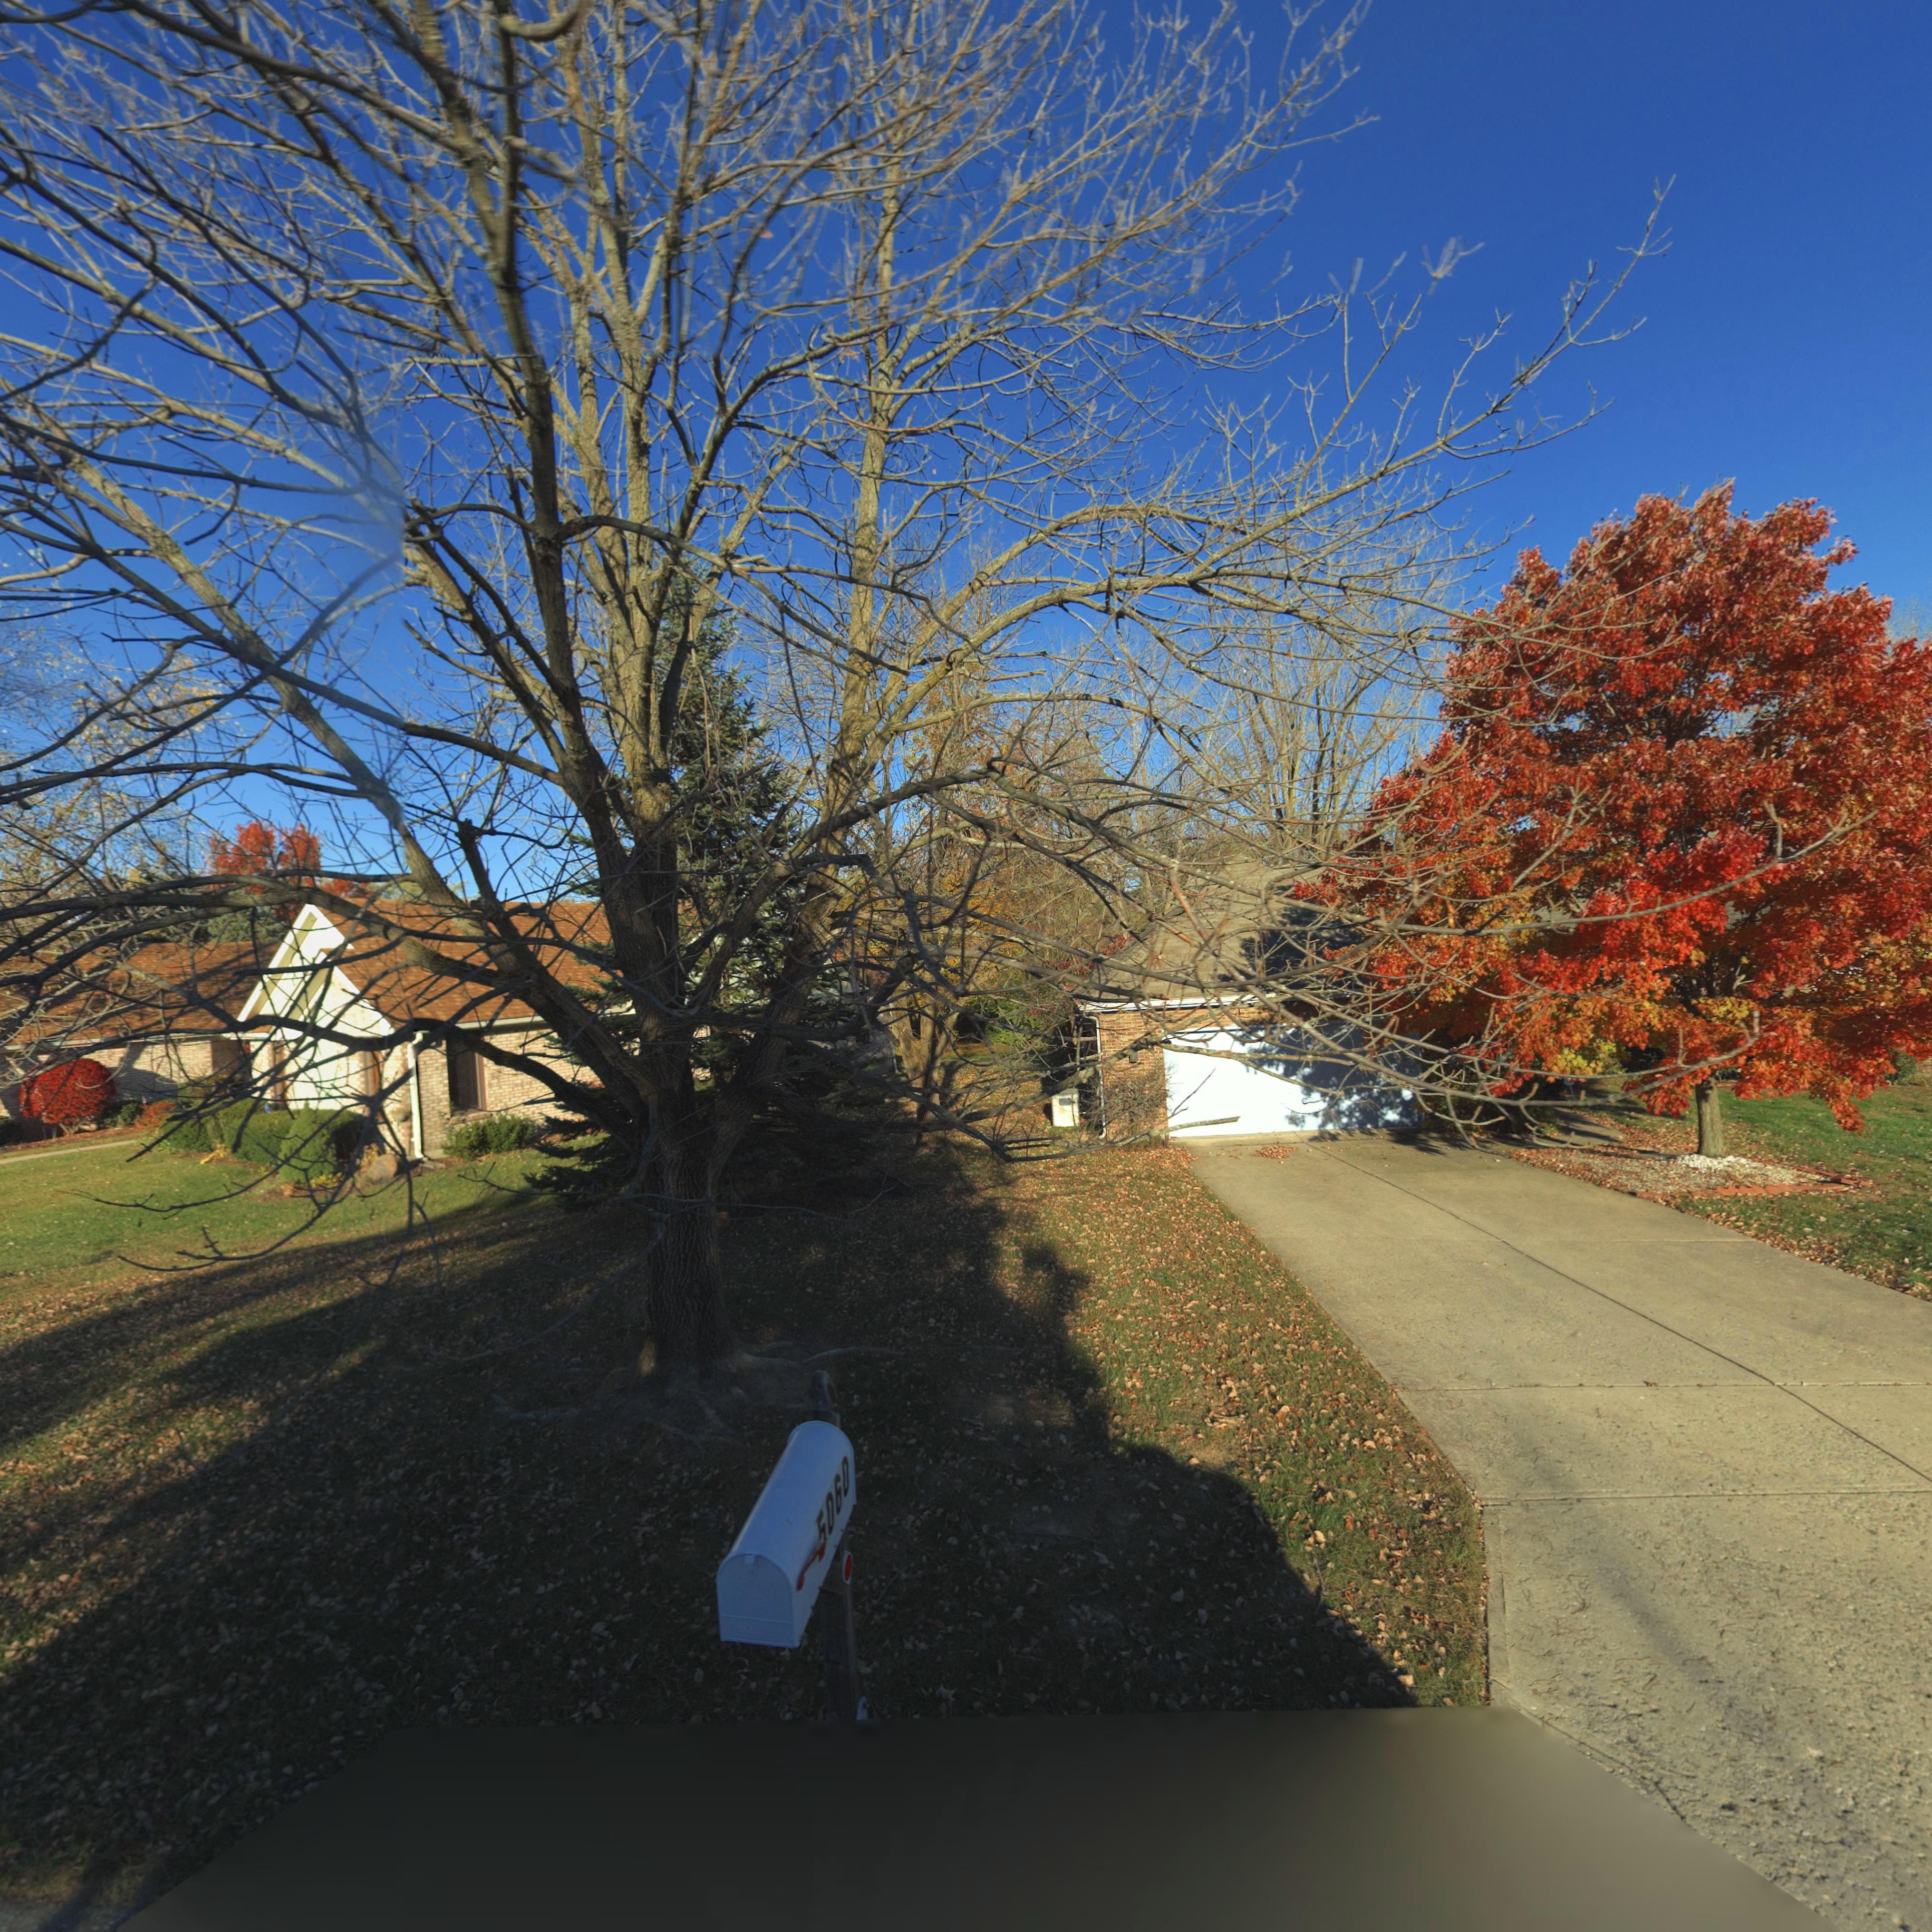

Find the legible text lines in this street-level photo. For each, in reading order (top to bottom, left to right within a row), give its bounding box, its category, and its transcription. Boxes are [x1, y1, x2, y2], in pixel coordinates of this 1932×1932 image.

[811, 1454, 851, 1555] StreetNumber: 5060